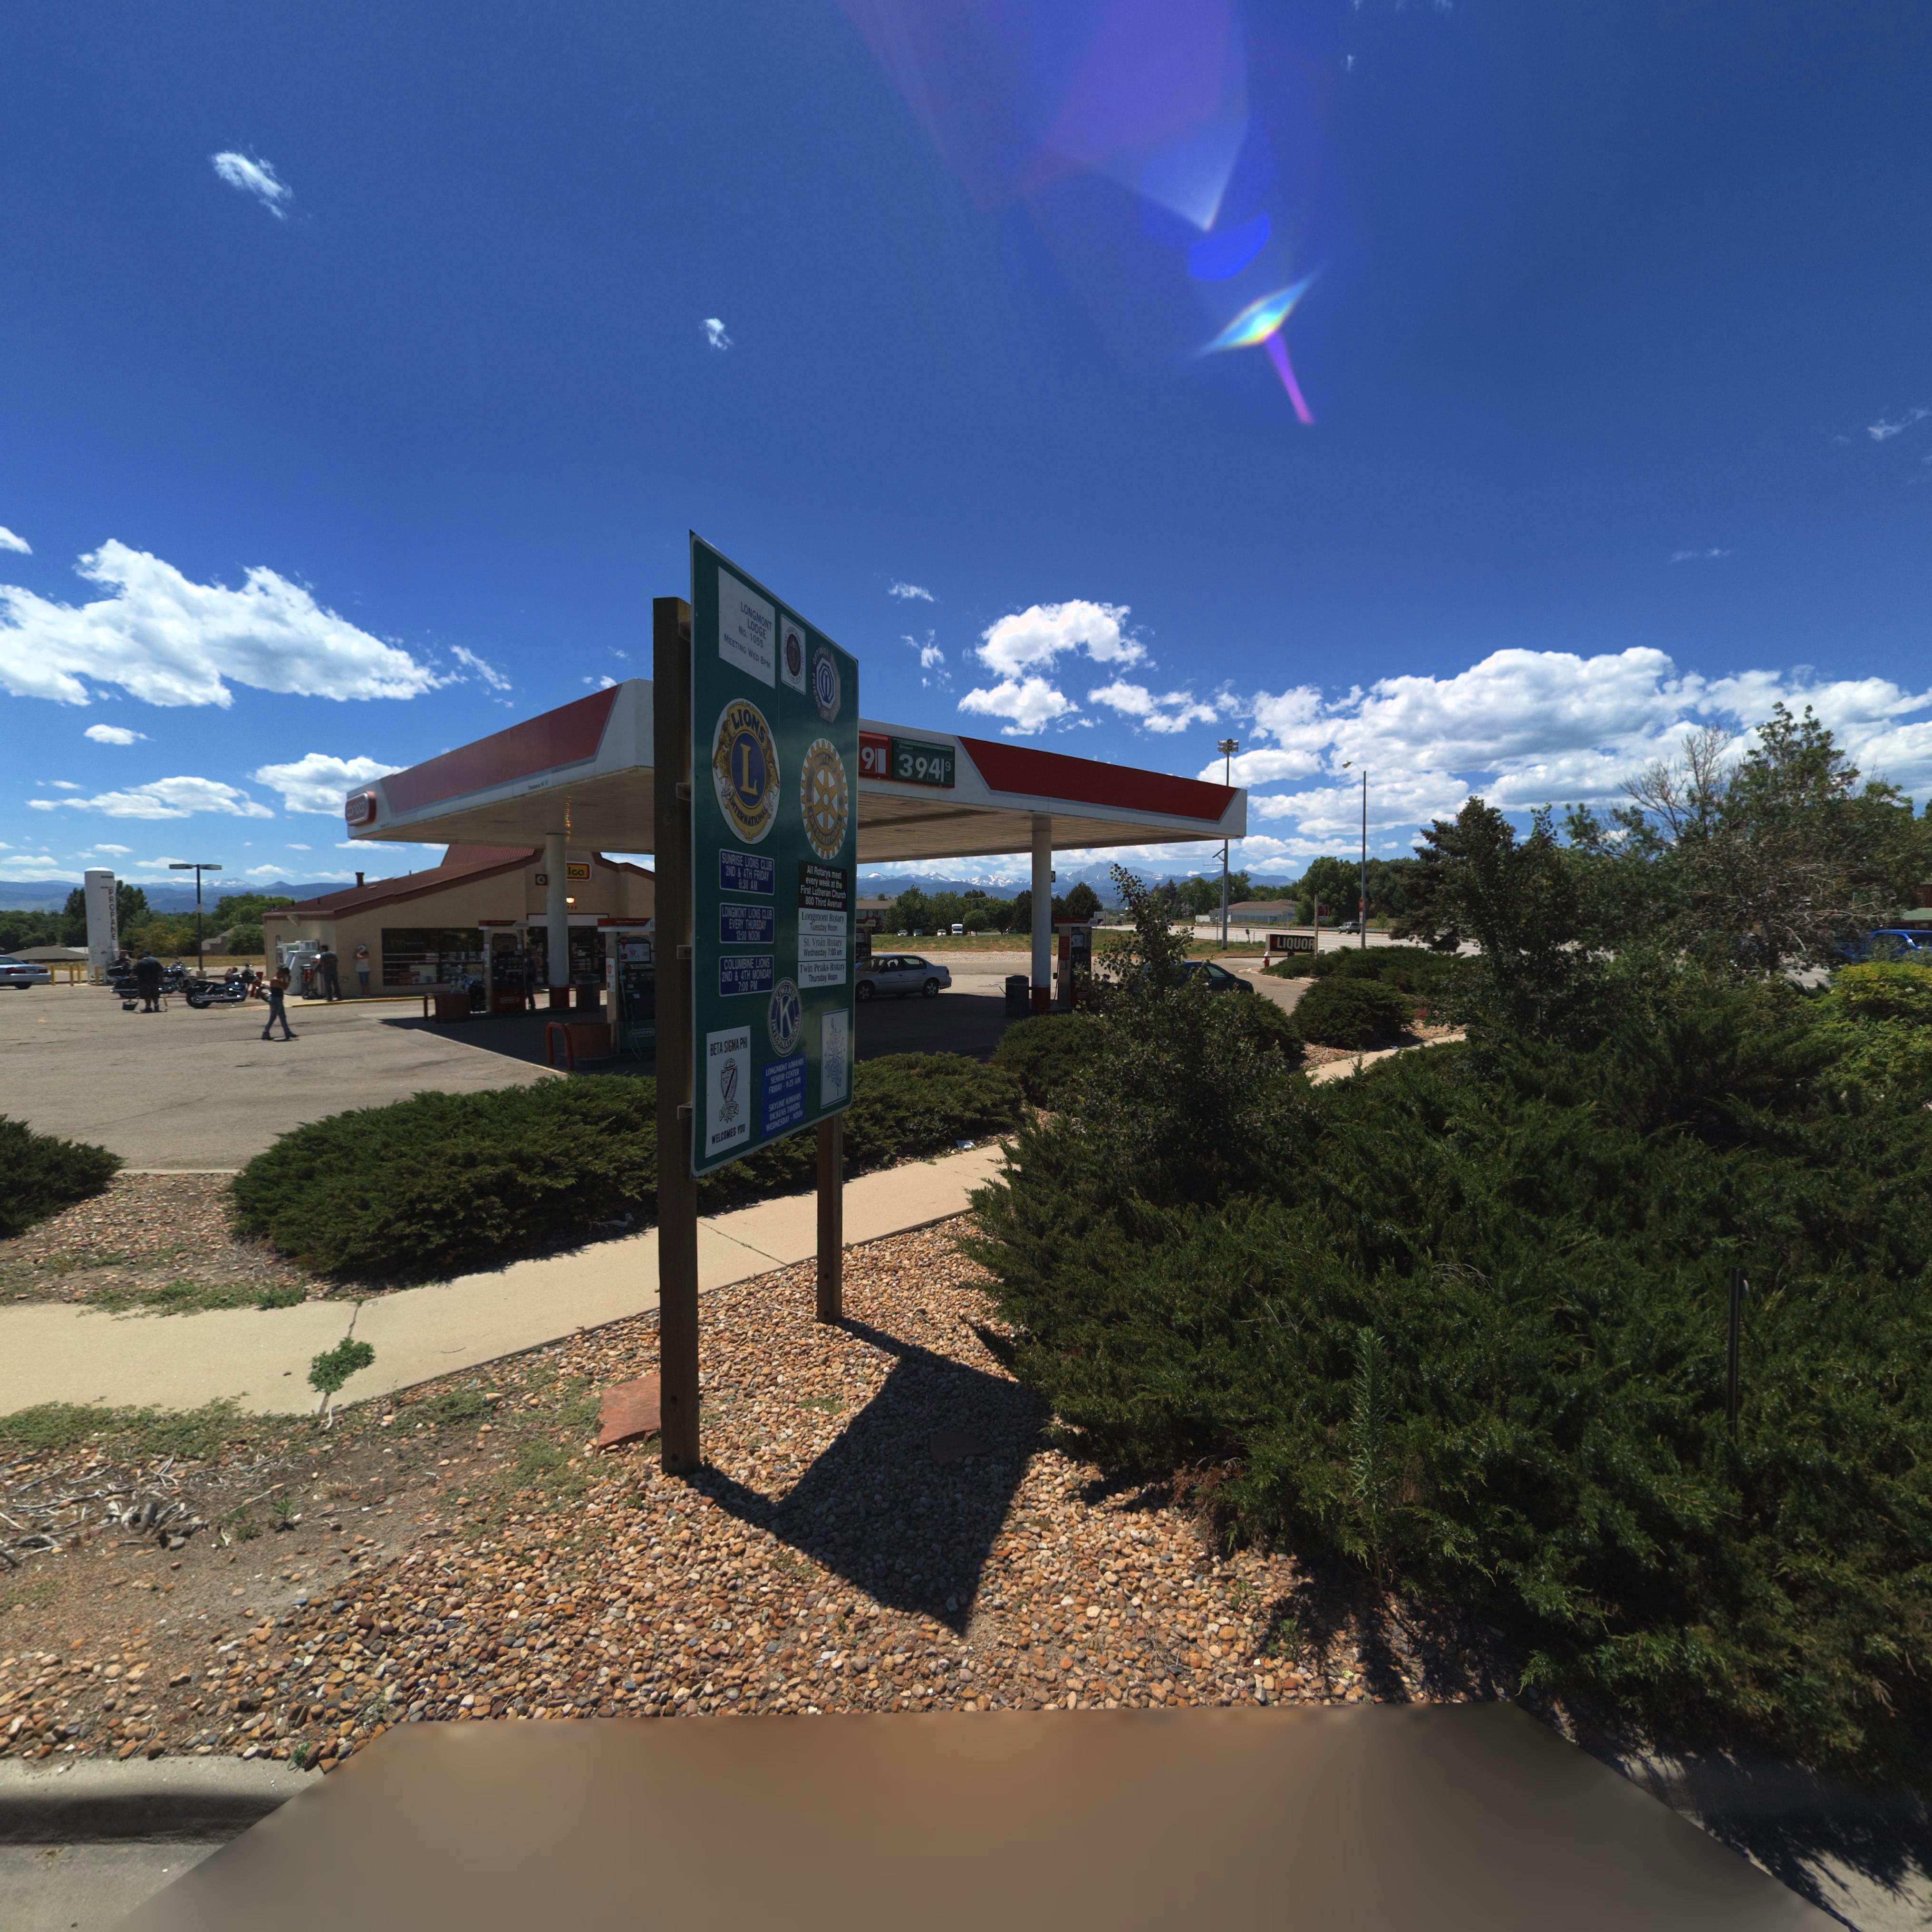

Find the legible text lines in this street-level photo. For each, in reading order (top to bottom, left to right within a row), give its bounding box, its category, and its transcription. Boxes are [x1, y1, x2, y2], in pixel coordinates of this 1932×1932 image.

[346, 801, 366, 817] BusinessName: co**co
[568, 866, 584, 876] BusinessName: lco
[567, 905, 577, 909] StreetNumber: **3